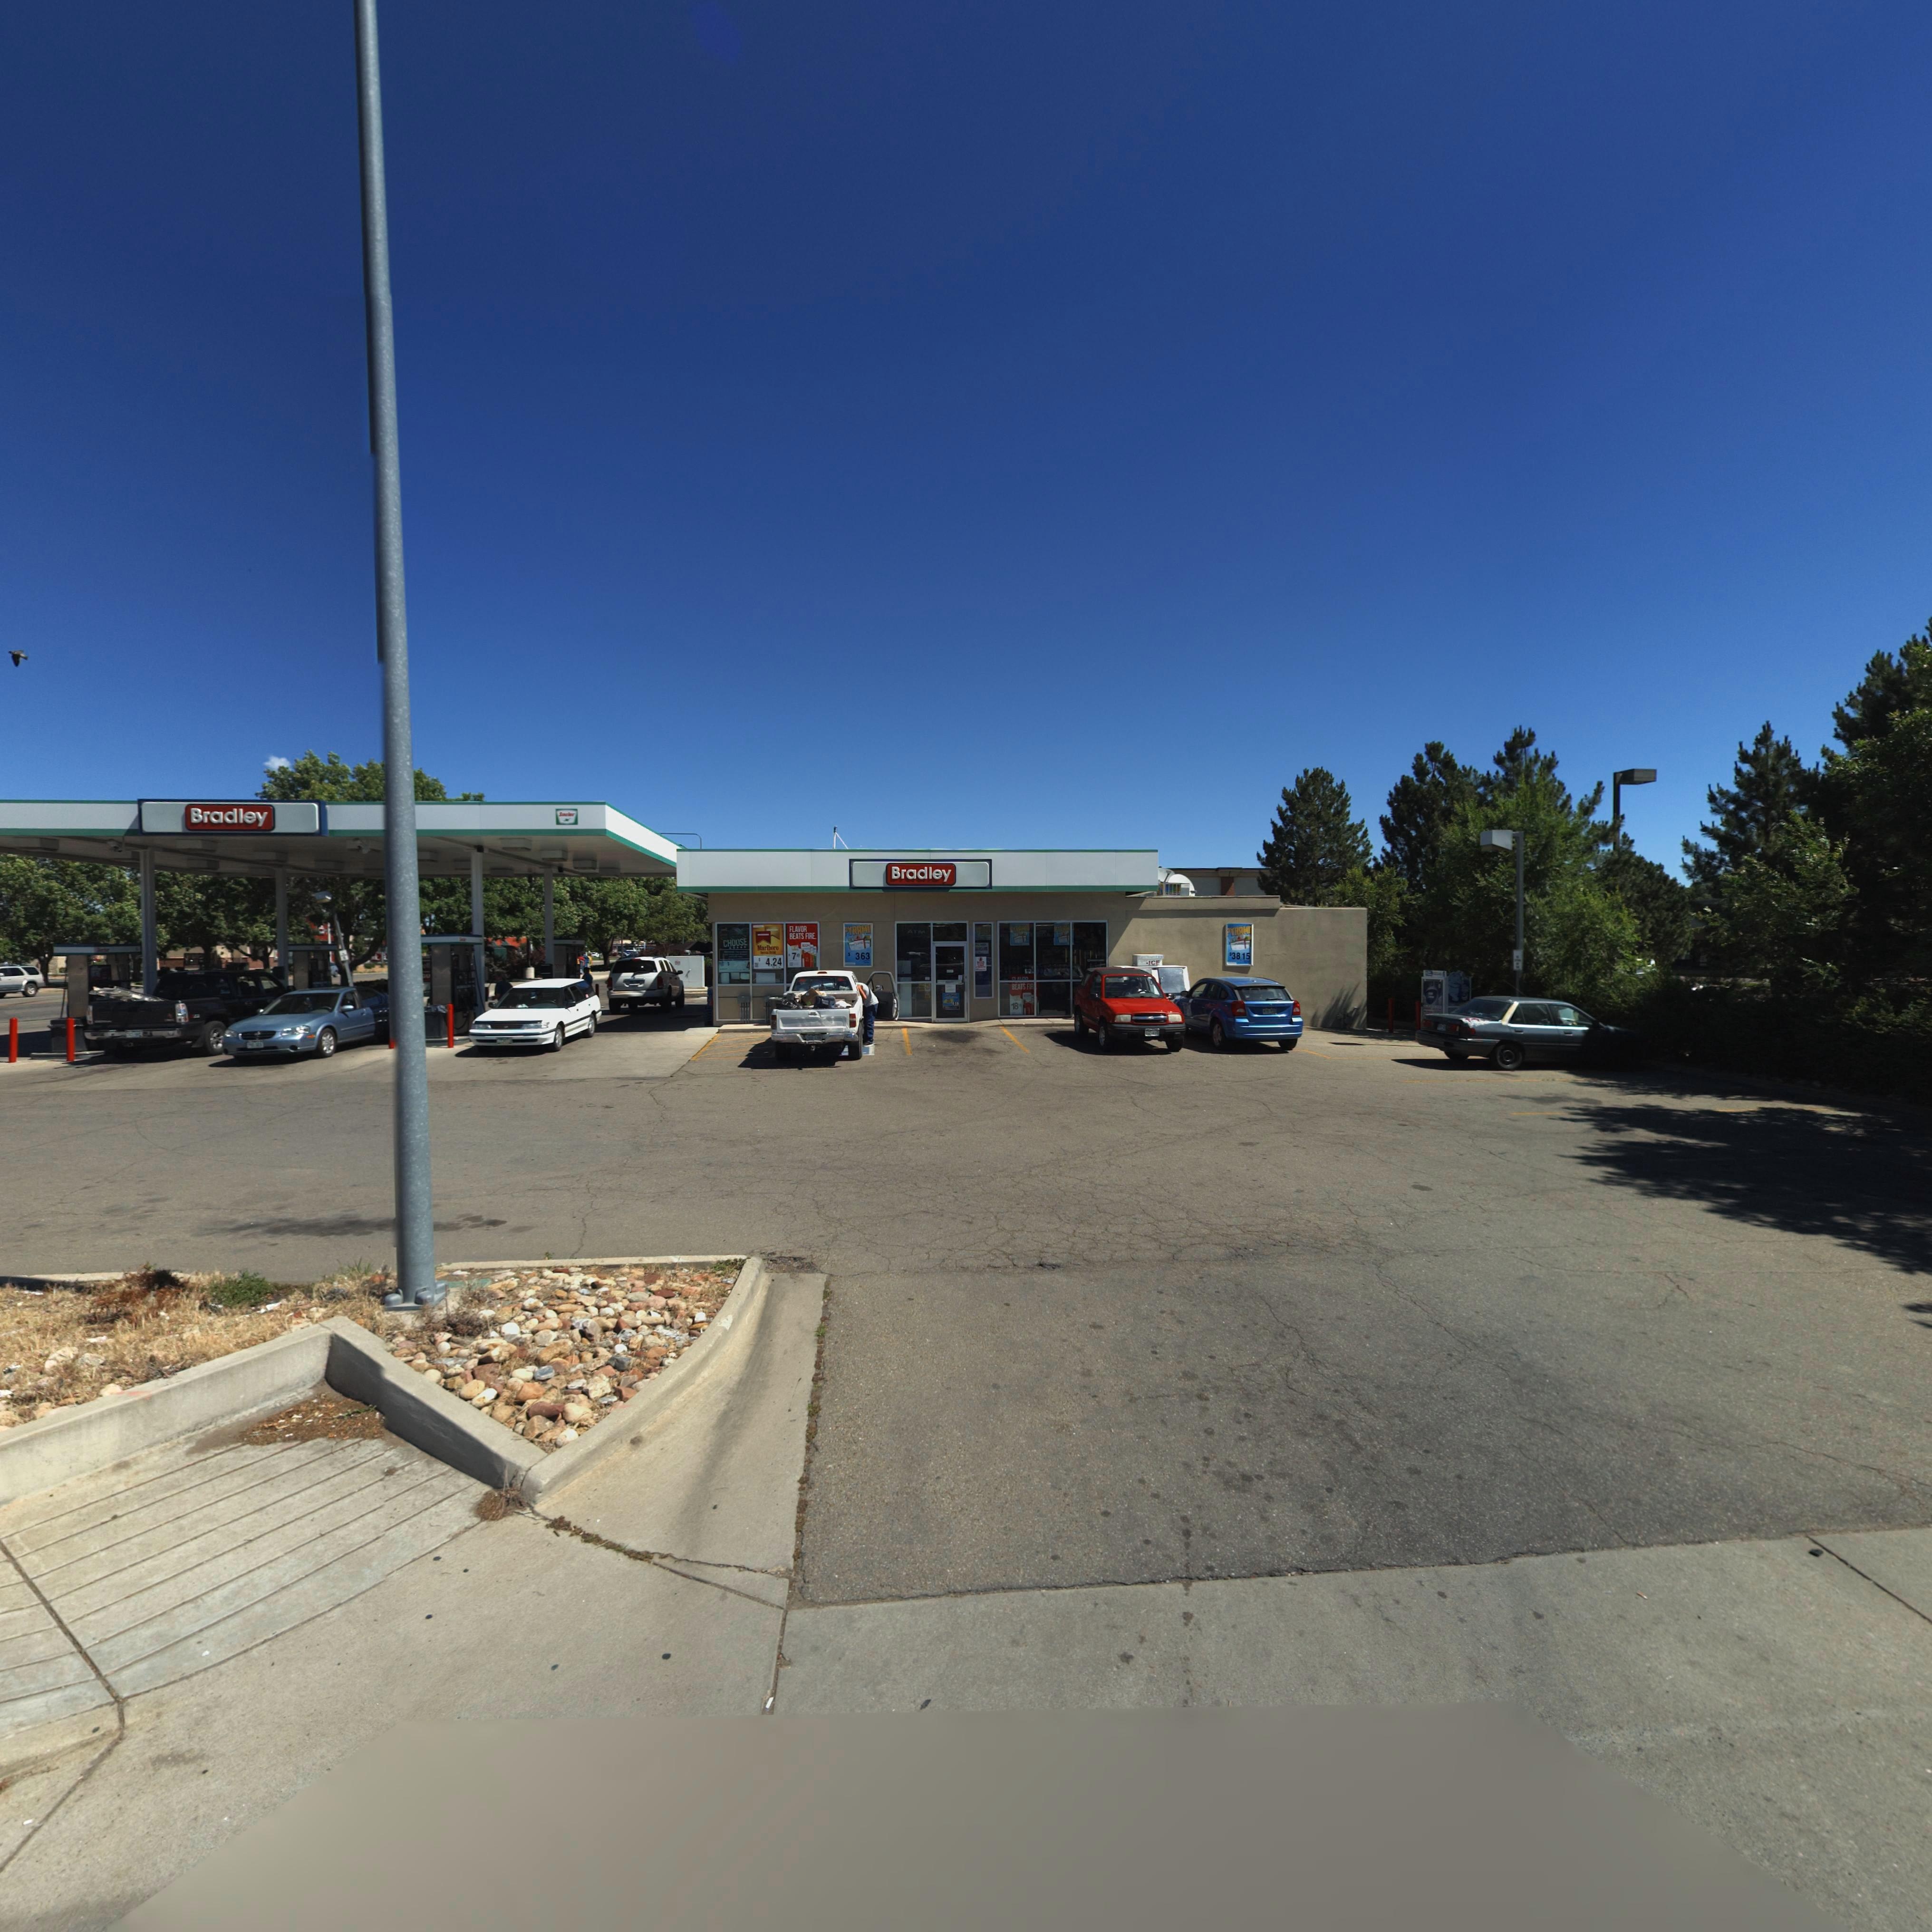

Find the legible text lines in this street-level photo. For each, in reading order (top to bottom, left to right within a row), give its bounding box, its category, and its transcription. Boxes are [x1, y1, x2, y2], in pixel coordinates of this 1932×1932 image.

[190, 807, 268, 827] BusinessName: Bradley
[558, 811, 575, 817] BusinessName: s*******
[891, 866, 952, 882] BusinessName: Bradley
[425, 973, 431, 978] BusinessName: U